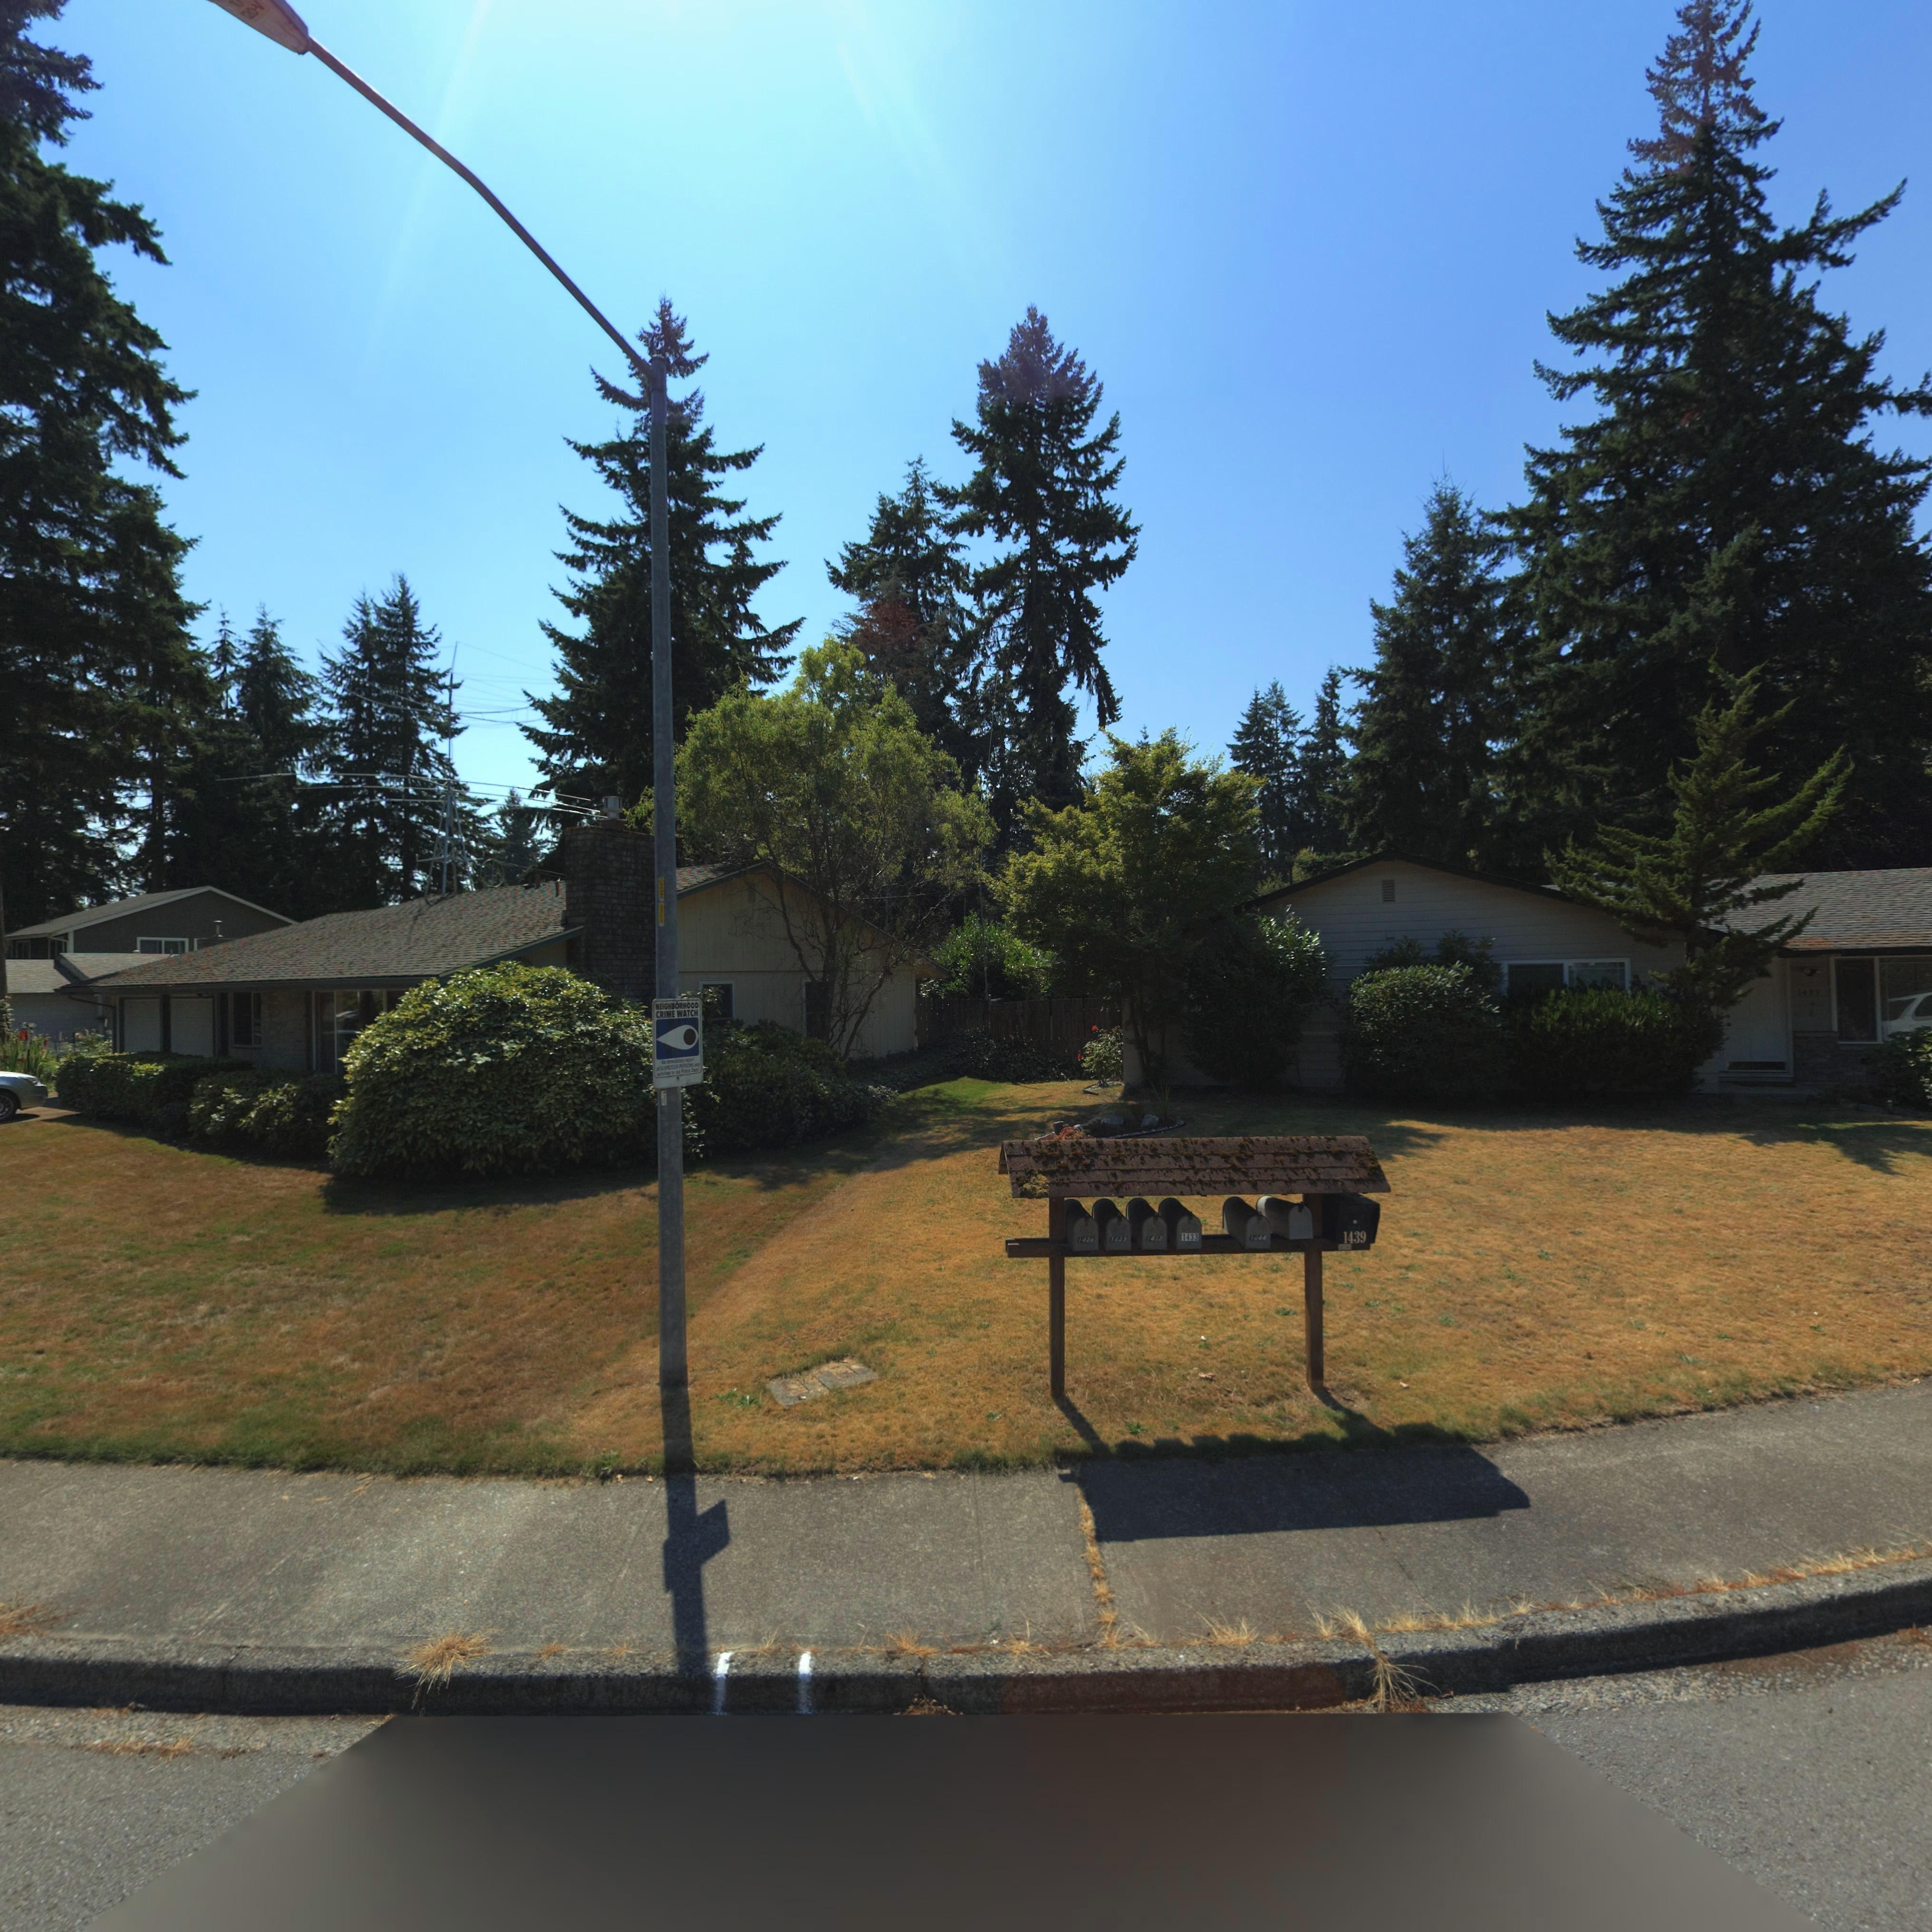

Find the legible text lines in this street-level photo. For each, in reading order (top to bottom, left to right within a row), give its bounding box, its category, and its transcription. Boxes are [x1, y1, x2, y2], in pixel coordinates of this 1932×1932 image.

[1797, 987, 1821, 996] StreetNumber: 1433
[1077, 1236, 1095, 1243] StreetNumber: 1428
[1109, 1235, 1128, 1243] StreetNumber: 1429
[1146, 1235, 1164, 1242] StreetNumber: 1432
[1182, 1233, 1198, 1241] StreetNumber: 1433
[1249, 1234, 1267, 1241] StreetNumber: 1444
[1343, 1230, 1367, 1244] StreetNumber: 1439